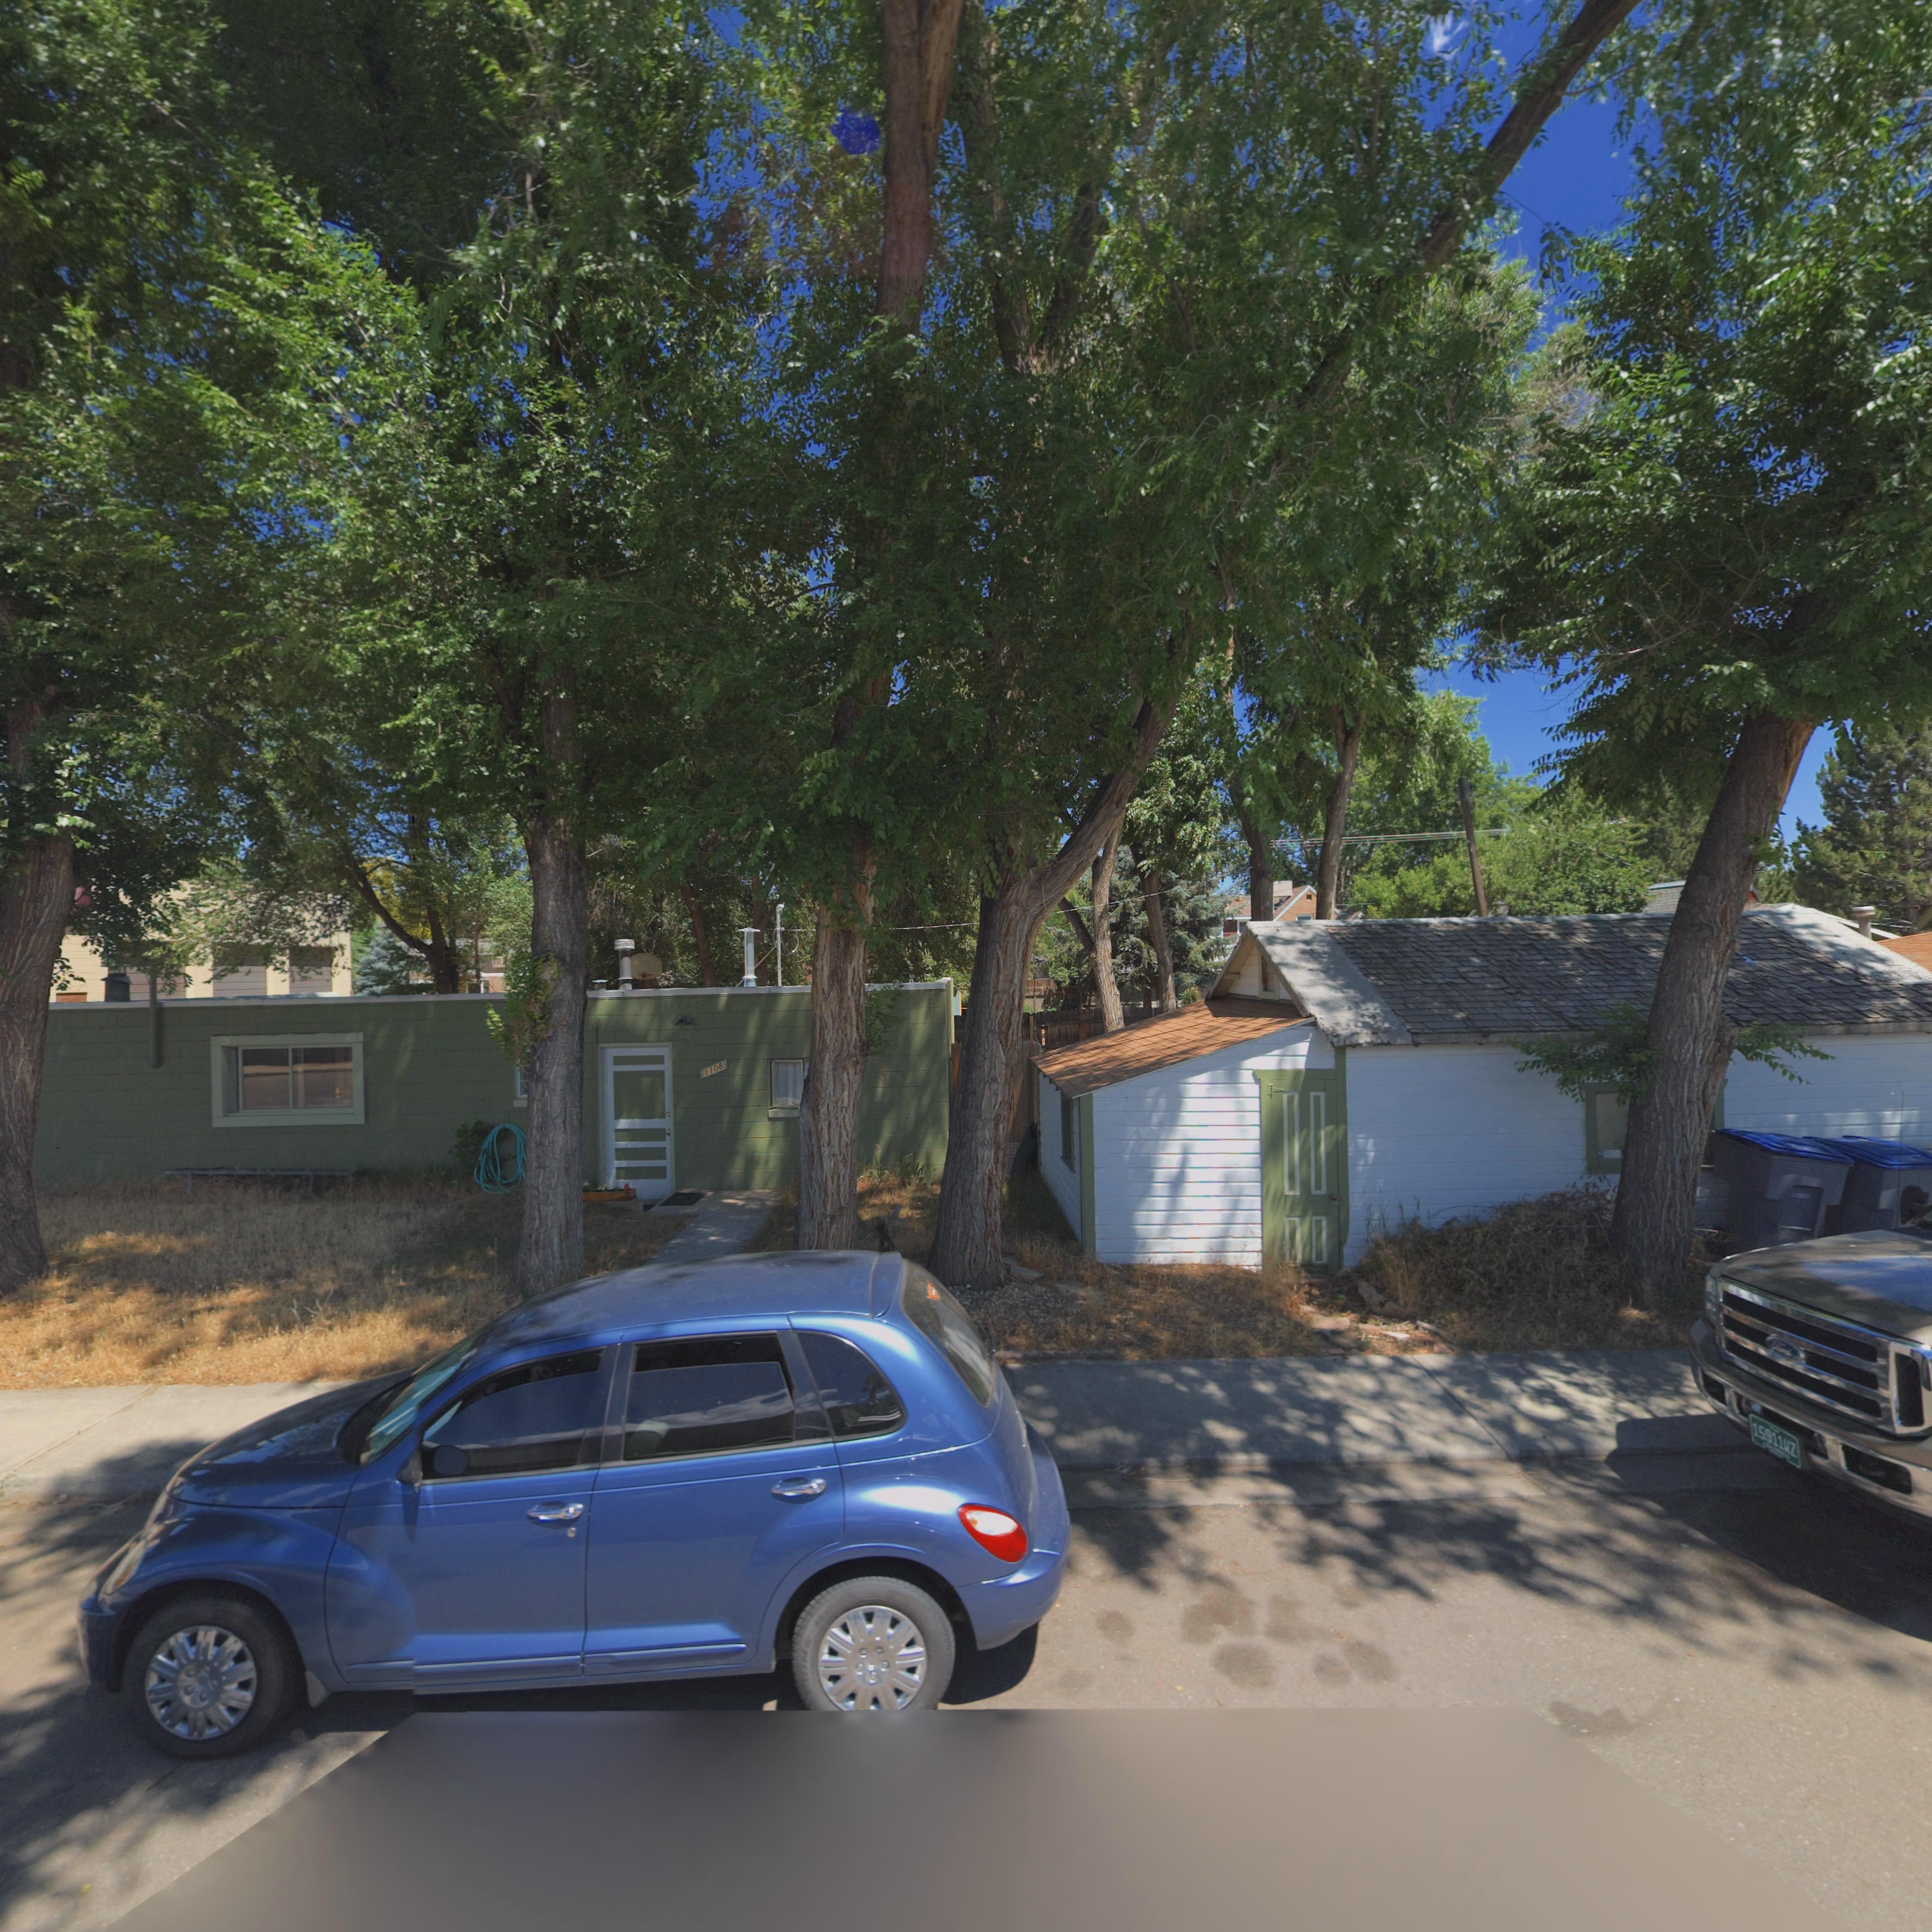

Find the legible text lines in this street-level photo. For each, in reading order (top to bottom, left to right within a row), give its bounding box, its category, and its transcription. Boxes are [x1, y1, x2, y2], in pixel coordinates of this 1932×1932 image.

[704, 1061, 724, 1076] StreetNumber: 1108